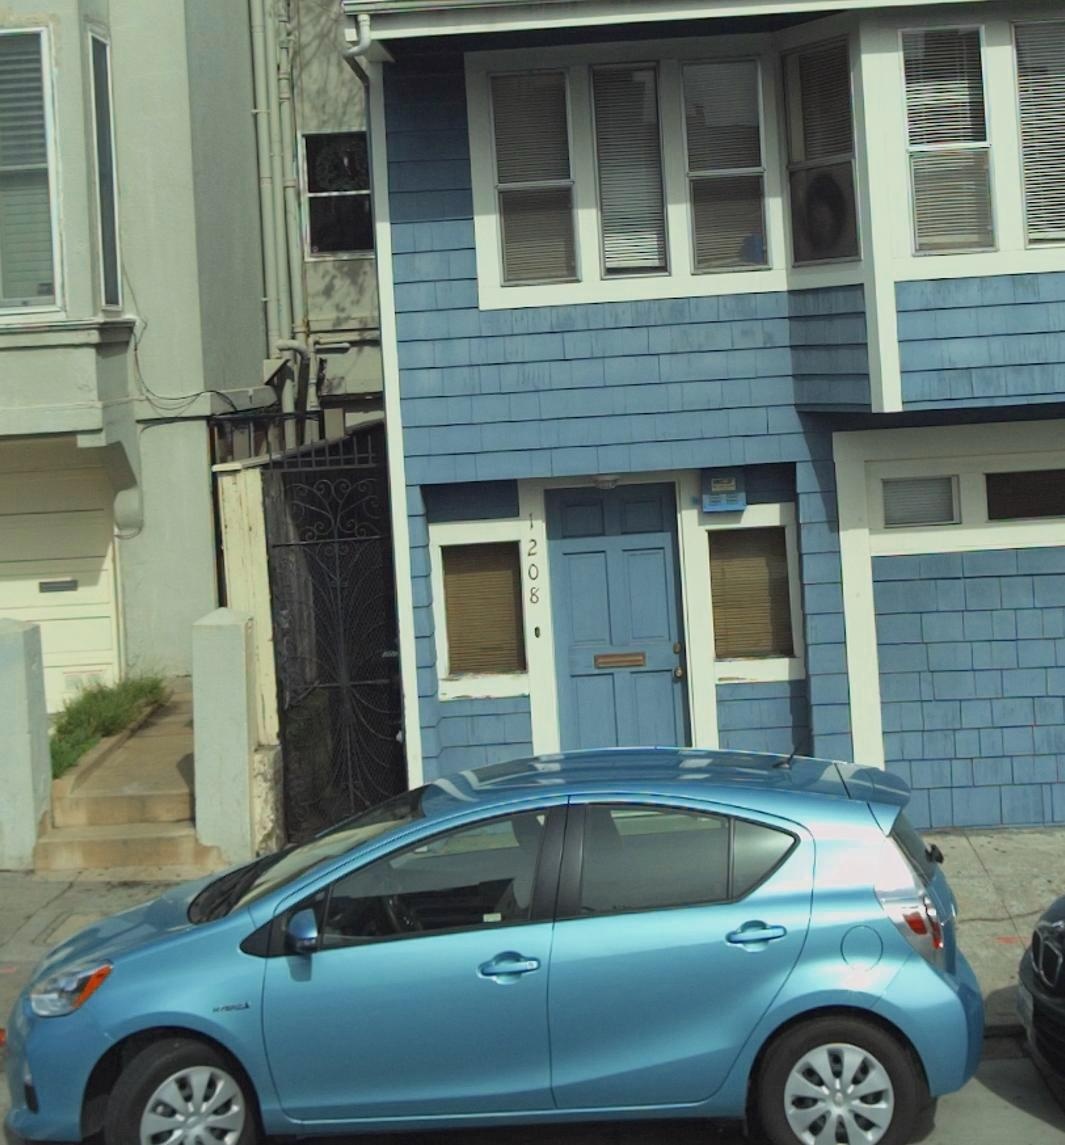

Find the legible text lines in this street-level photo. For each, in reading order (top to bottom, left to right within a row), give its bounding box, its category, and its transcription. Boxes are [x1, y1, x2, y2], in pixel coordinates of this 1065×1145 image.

[526, 510, 542, 606] StreetNumber: 1208